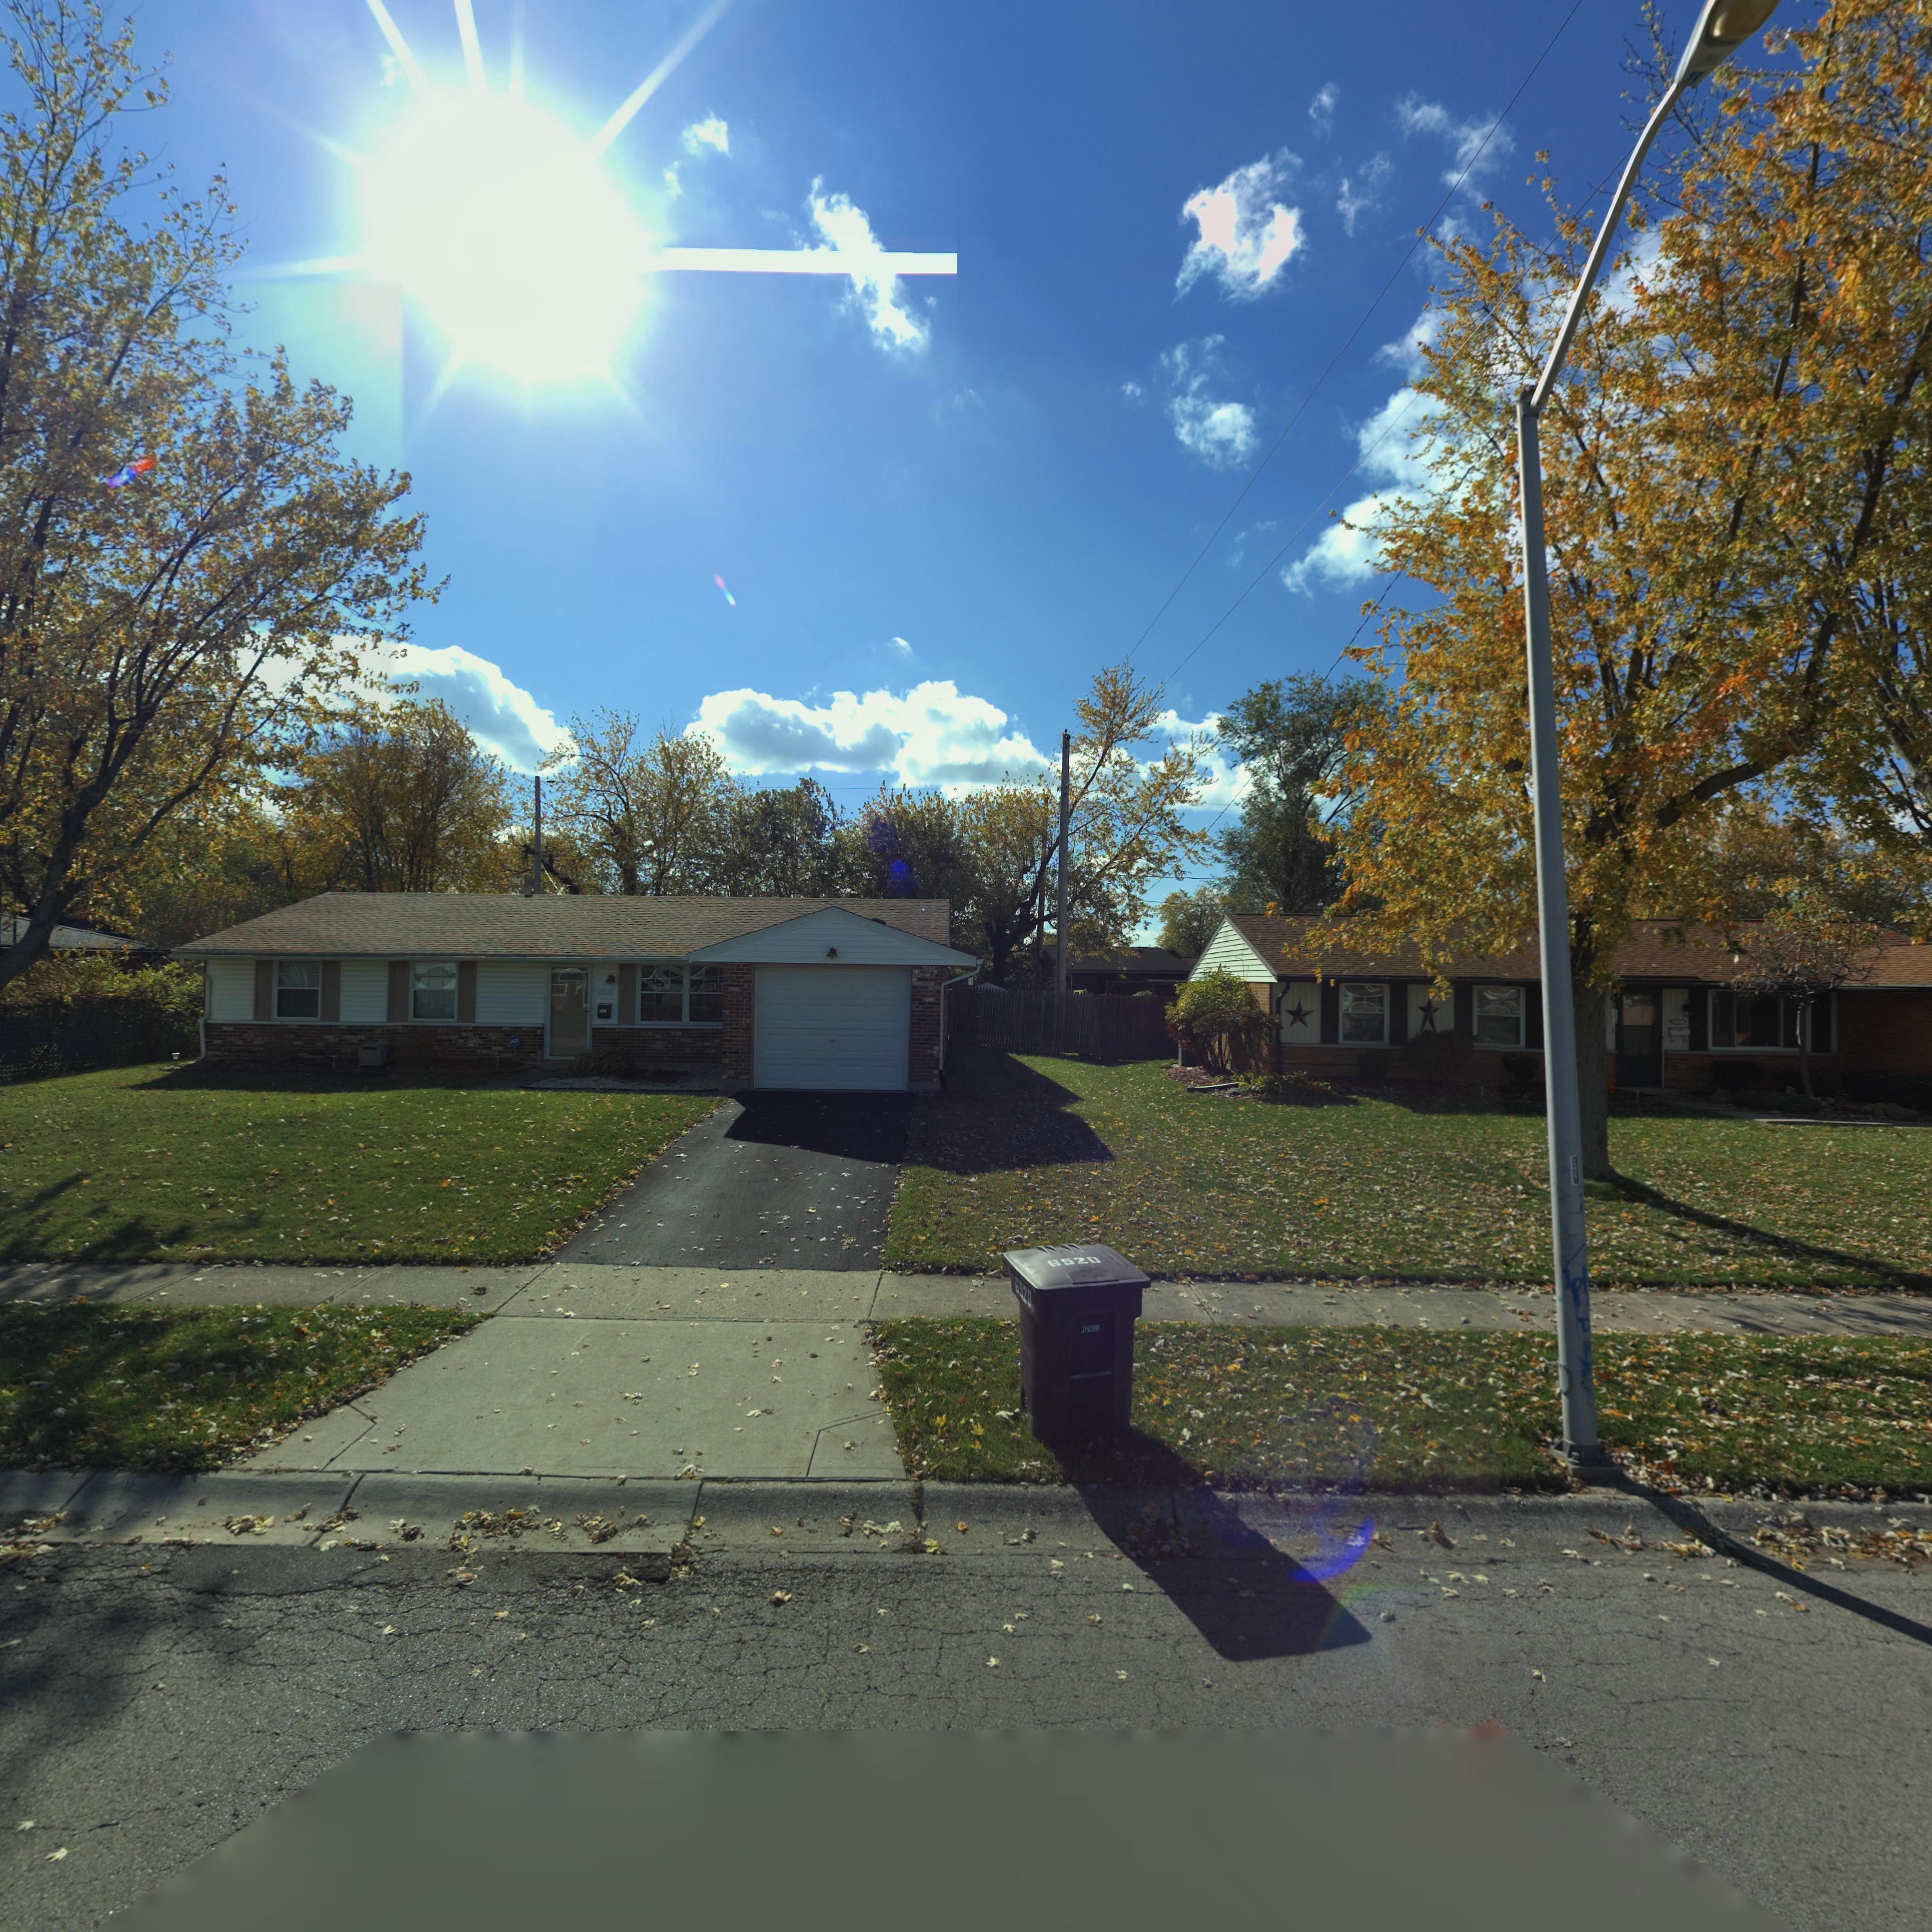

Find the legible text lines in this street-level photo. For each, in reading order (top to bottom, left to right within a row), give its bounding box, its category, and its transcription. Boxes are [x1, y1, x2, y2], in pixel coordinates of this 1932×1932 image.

[597, 989, 613, 995] StreetNumber: 65*0
[1046, 1256, 1102, 1267] StreetNumber: 6520
[1014, 1275, 1032, 1311] StreetNumber: 6520